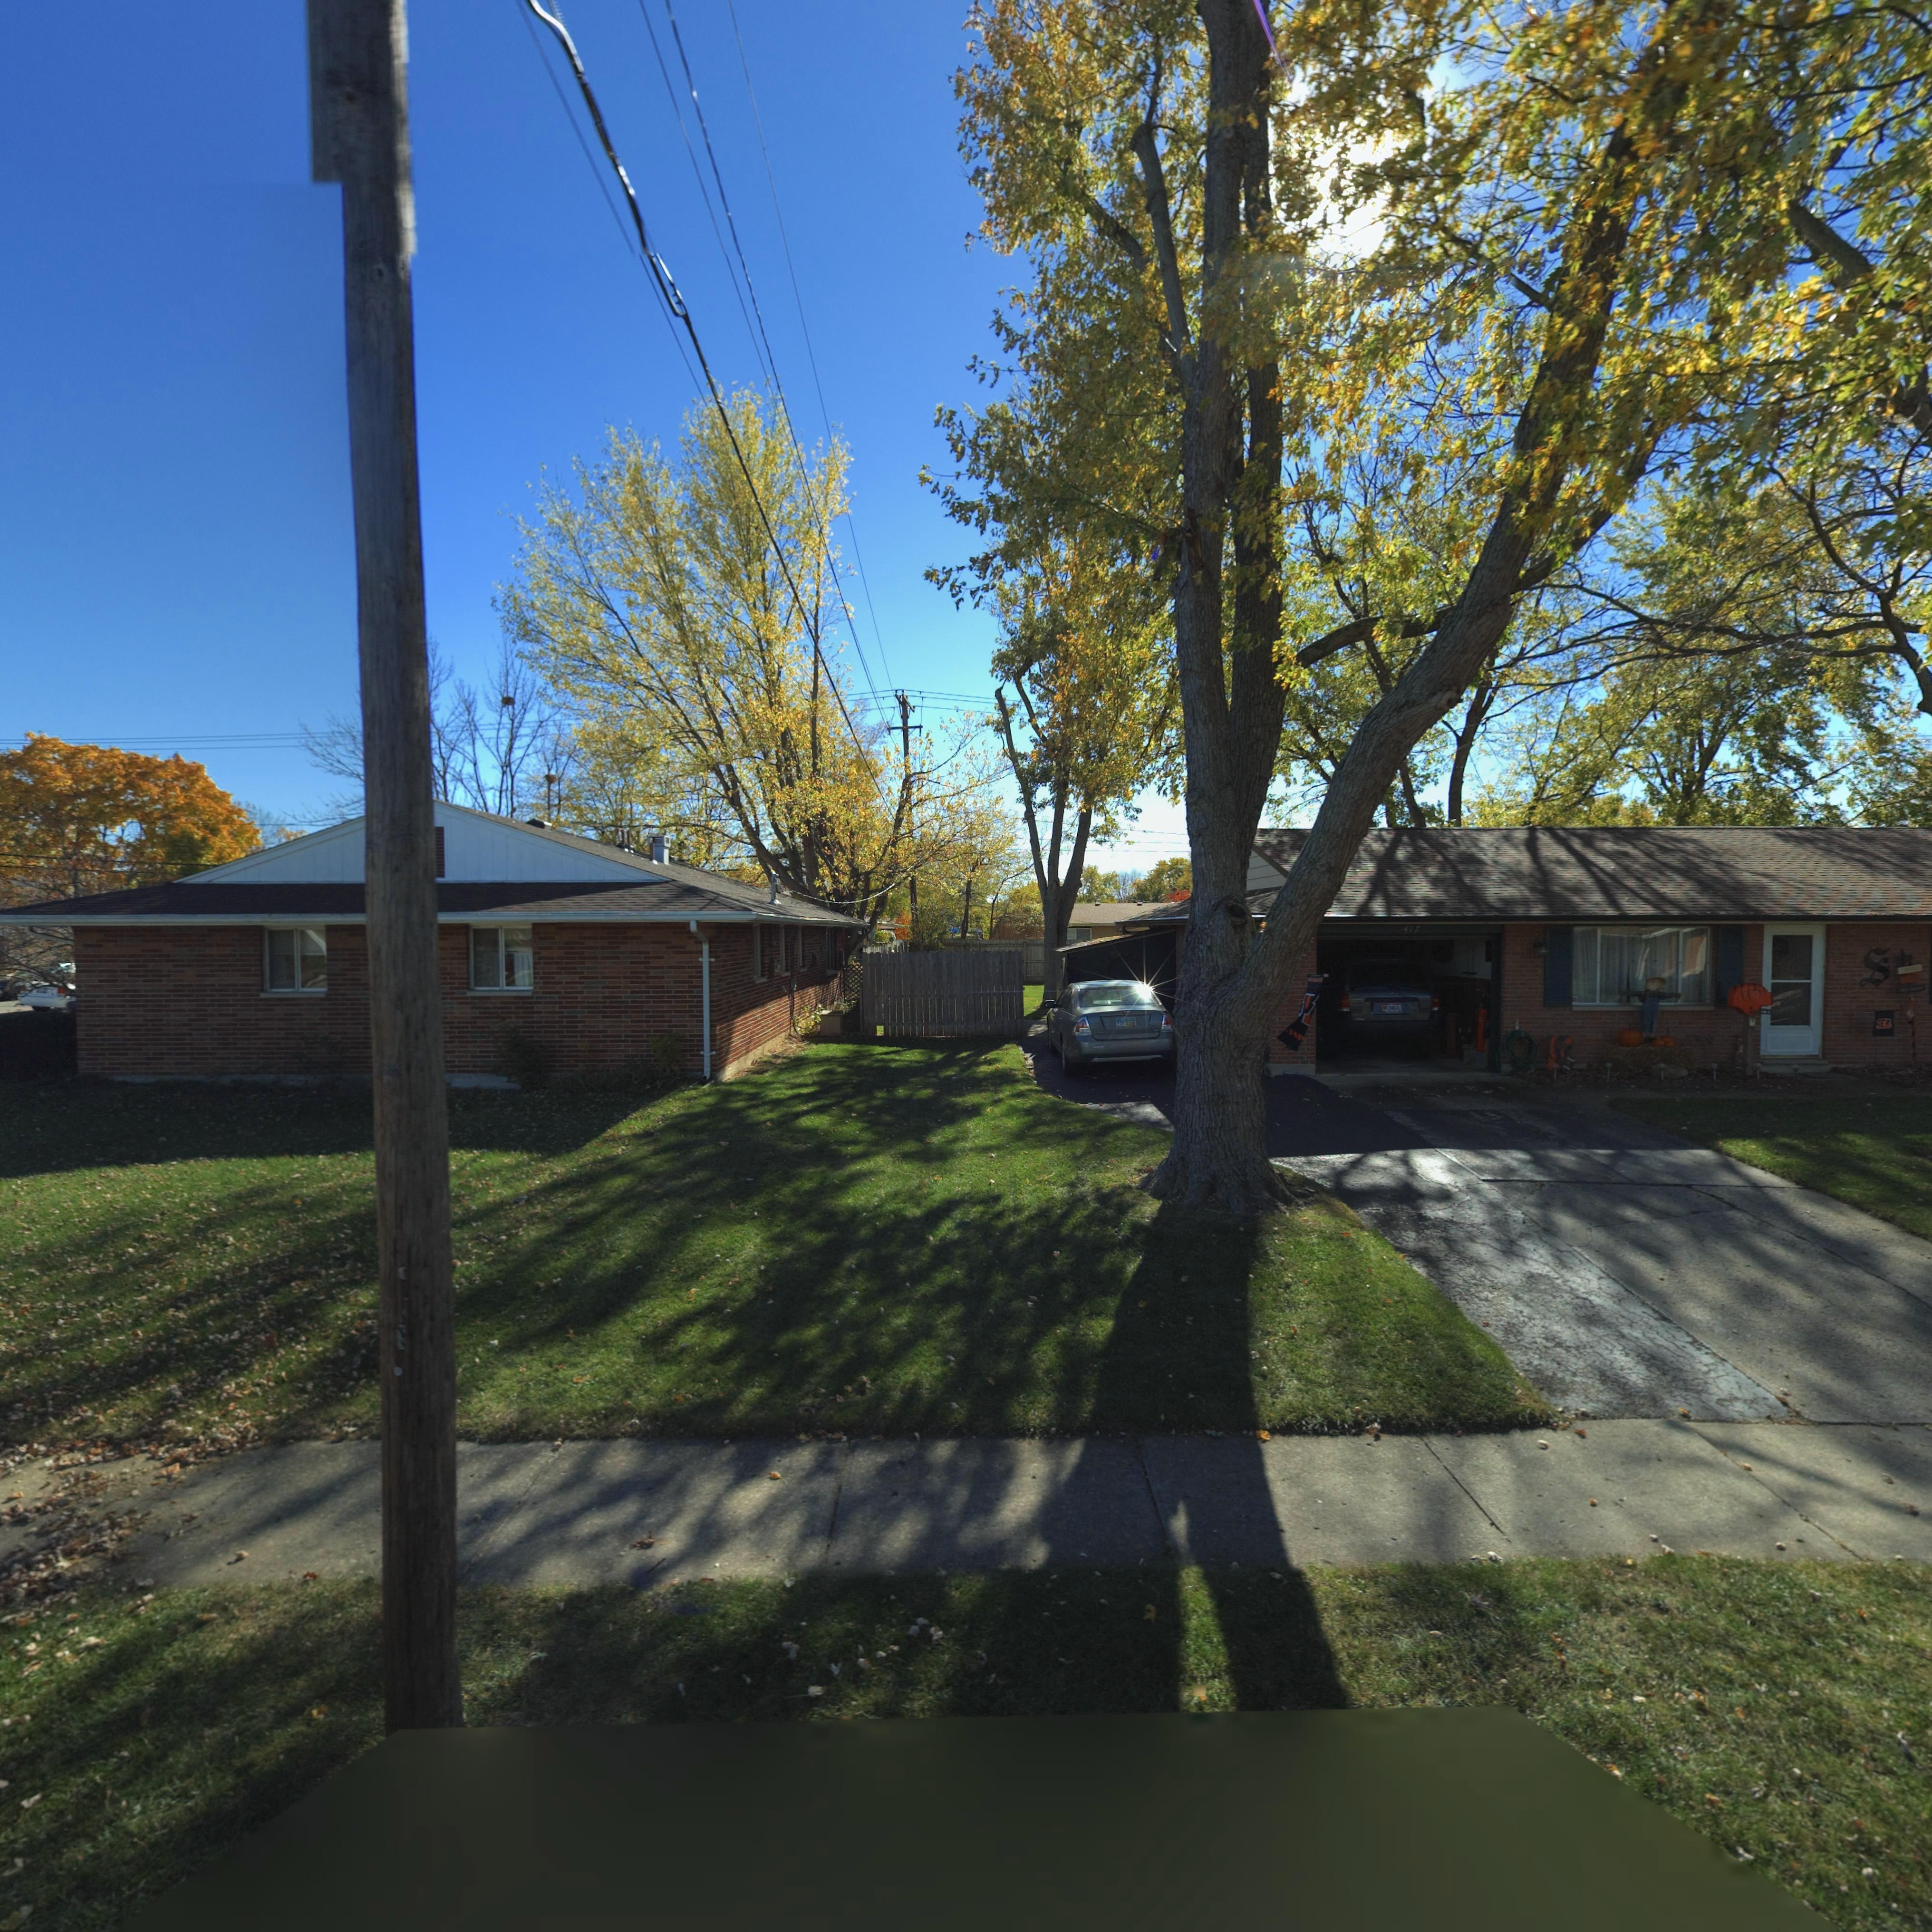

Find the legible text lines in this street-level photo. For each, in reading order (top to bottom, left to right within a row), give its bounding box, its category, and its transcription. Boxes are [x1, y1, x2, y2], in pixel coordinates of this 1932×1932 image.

[1402, 925, 1421, 934] StreetNumber: 417